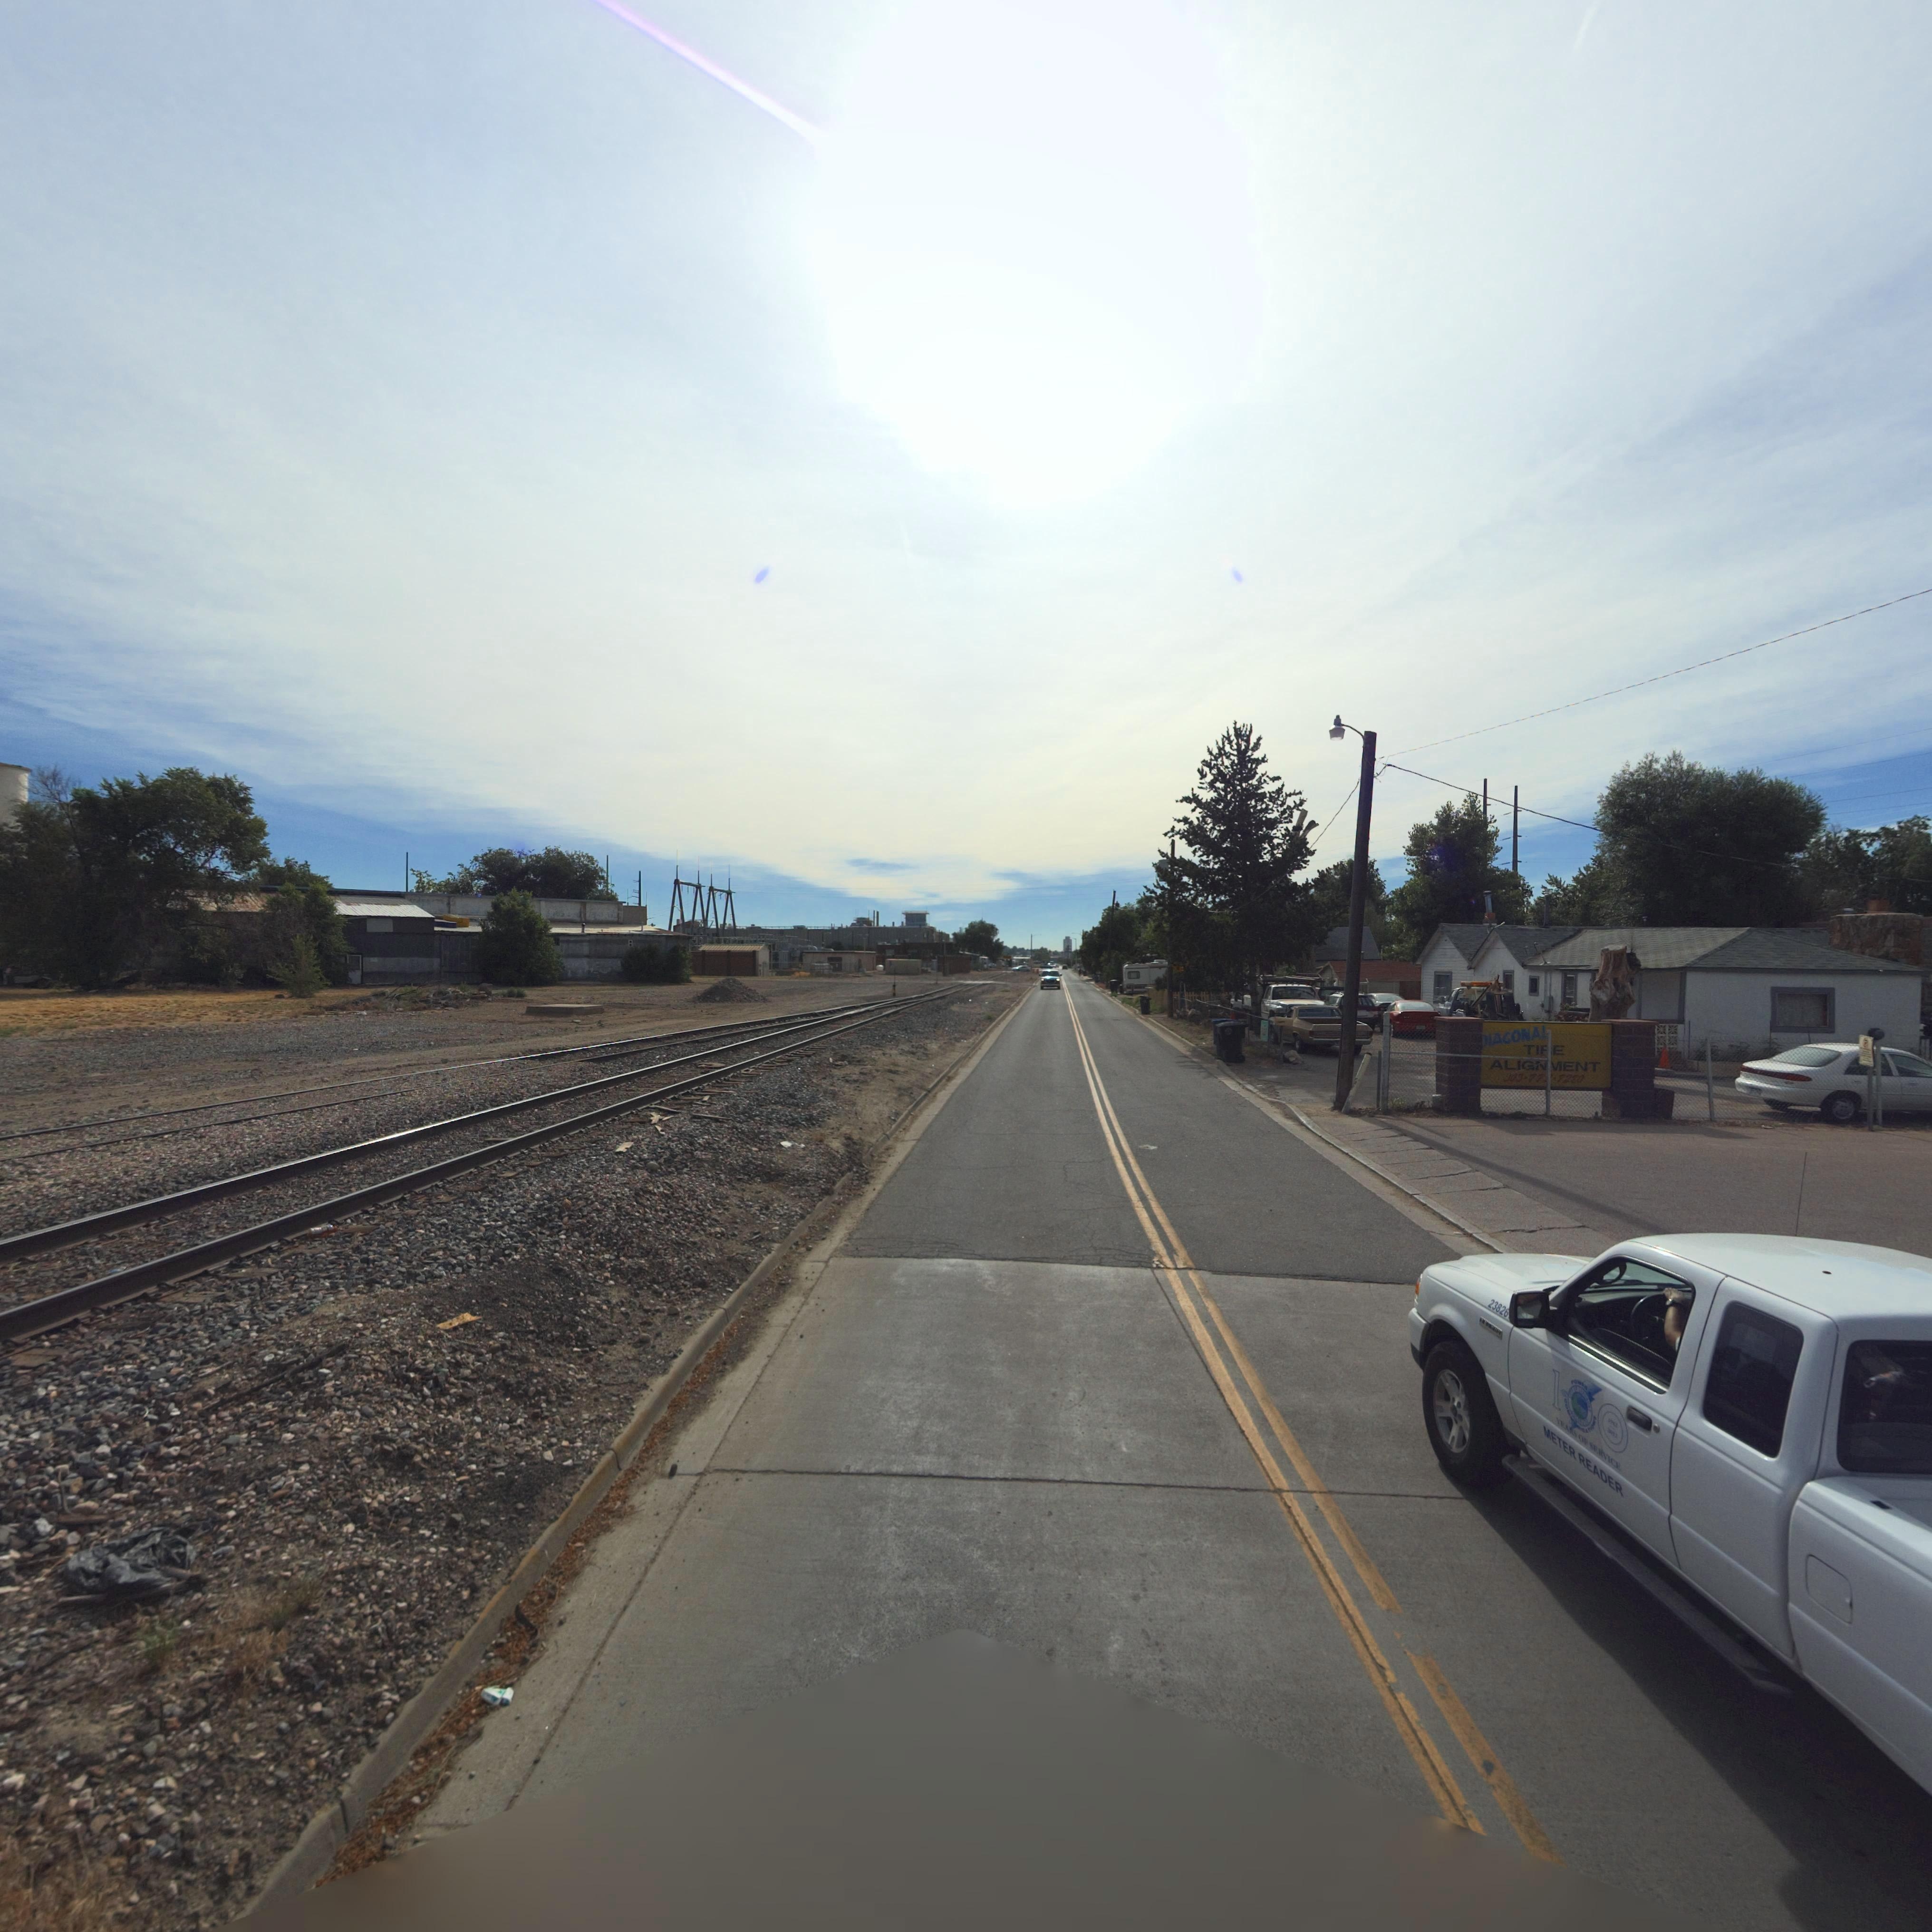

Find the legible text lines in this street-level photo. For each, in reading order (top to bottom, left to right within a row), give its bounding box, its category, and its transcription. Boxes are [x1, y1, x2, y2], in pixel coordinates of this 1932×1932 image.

[1481, 1023, 1550, 1049] BusinessName: *IAGONAL
[1522, 1044, 1566, 1056] BusinessName: TI*E
[1488, 1058, 1602, 1072] BusinessName: ALIGN*ENT